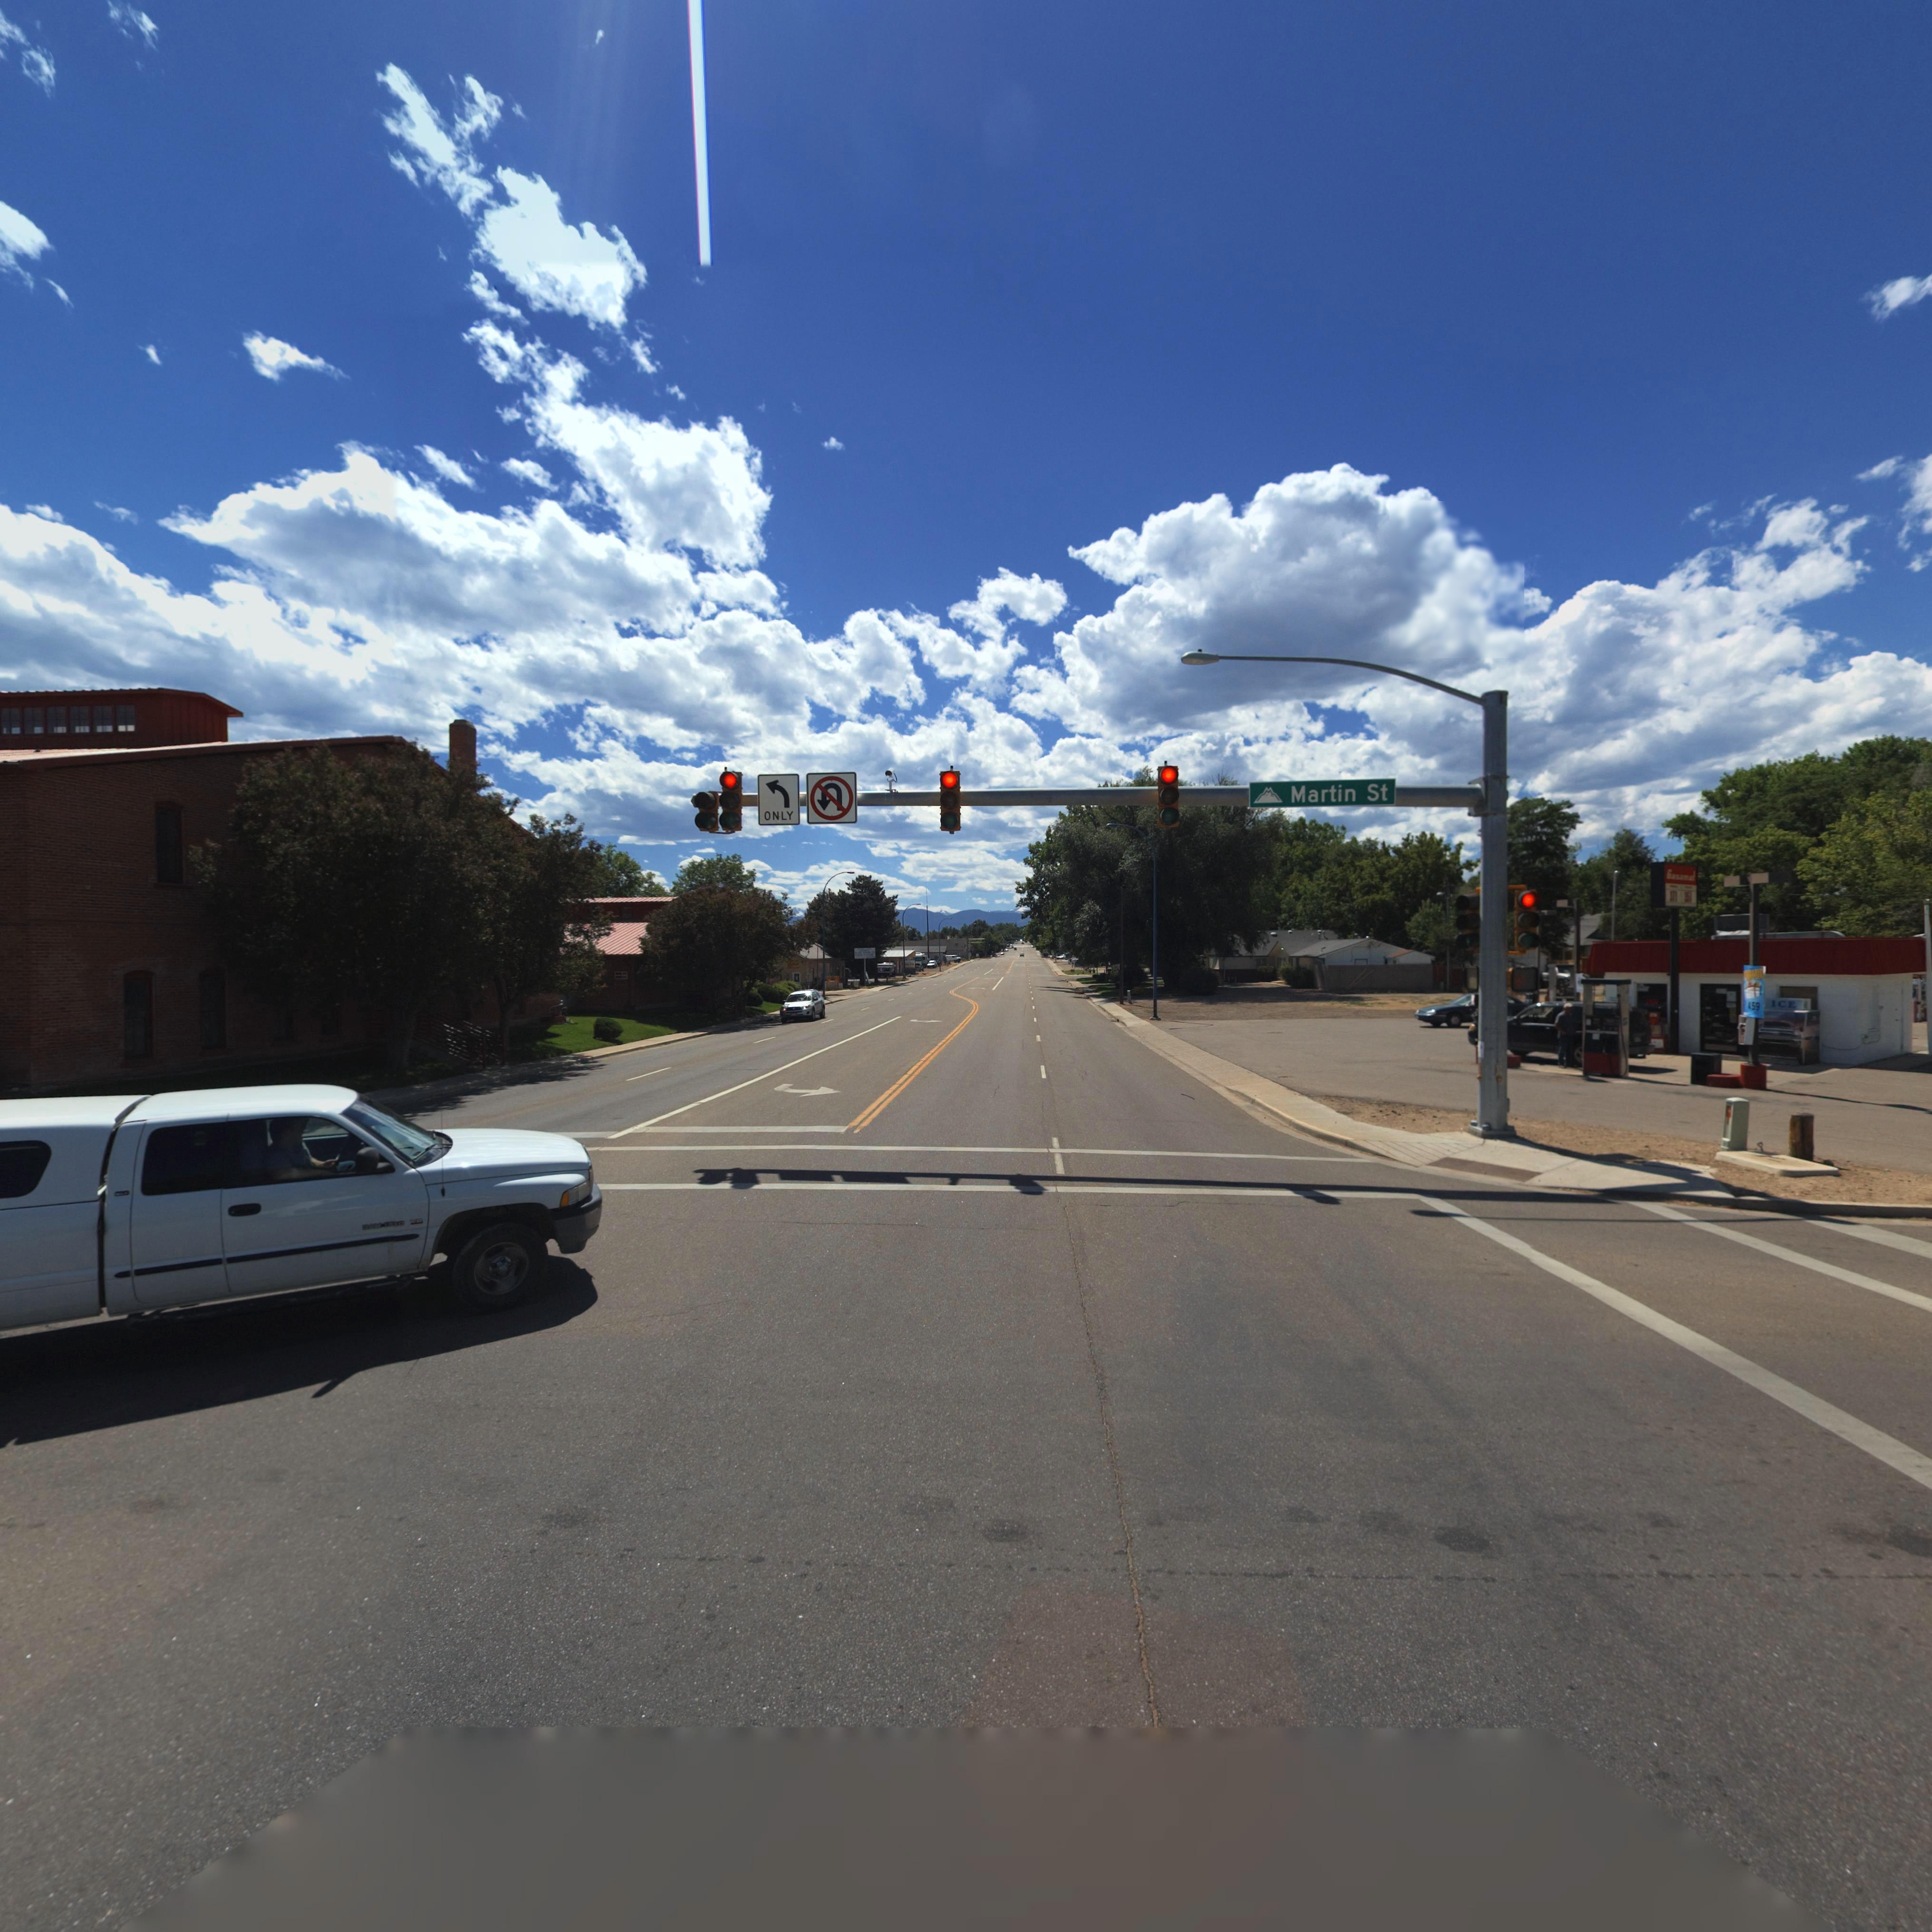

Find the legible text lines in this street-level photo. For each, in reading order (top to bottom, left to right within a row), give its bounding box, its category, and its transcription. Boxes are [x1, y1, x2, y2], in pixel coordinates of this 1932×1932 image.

[1291, 783, 1388, 802] StreetName: Martin St
[1666, 868, 1697, 881] BusinessName: Gasamat
[1748, 1001, 1761, 1011] StreetNumber: 159